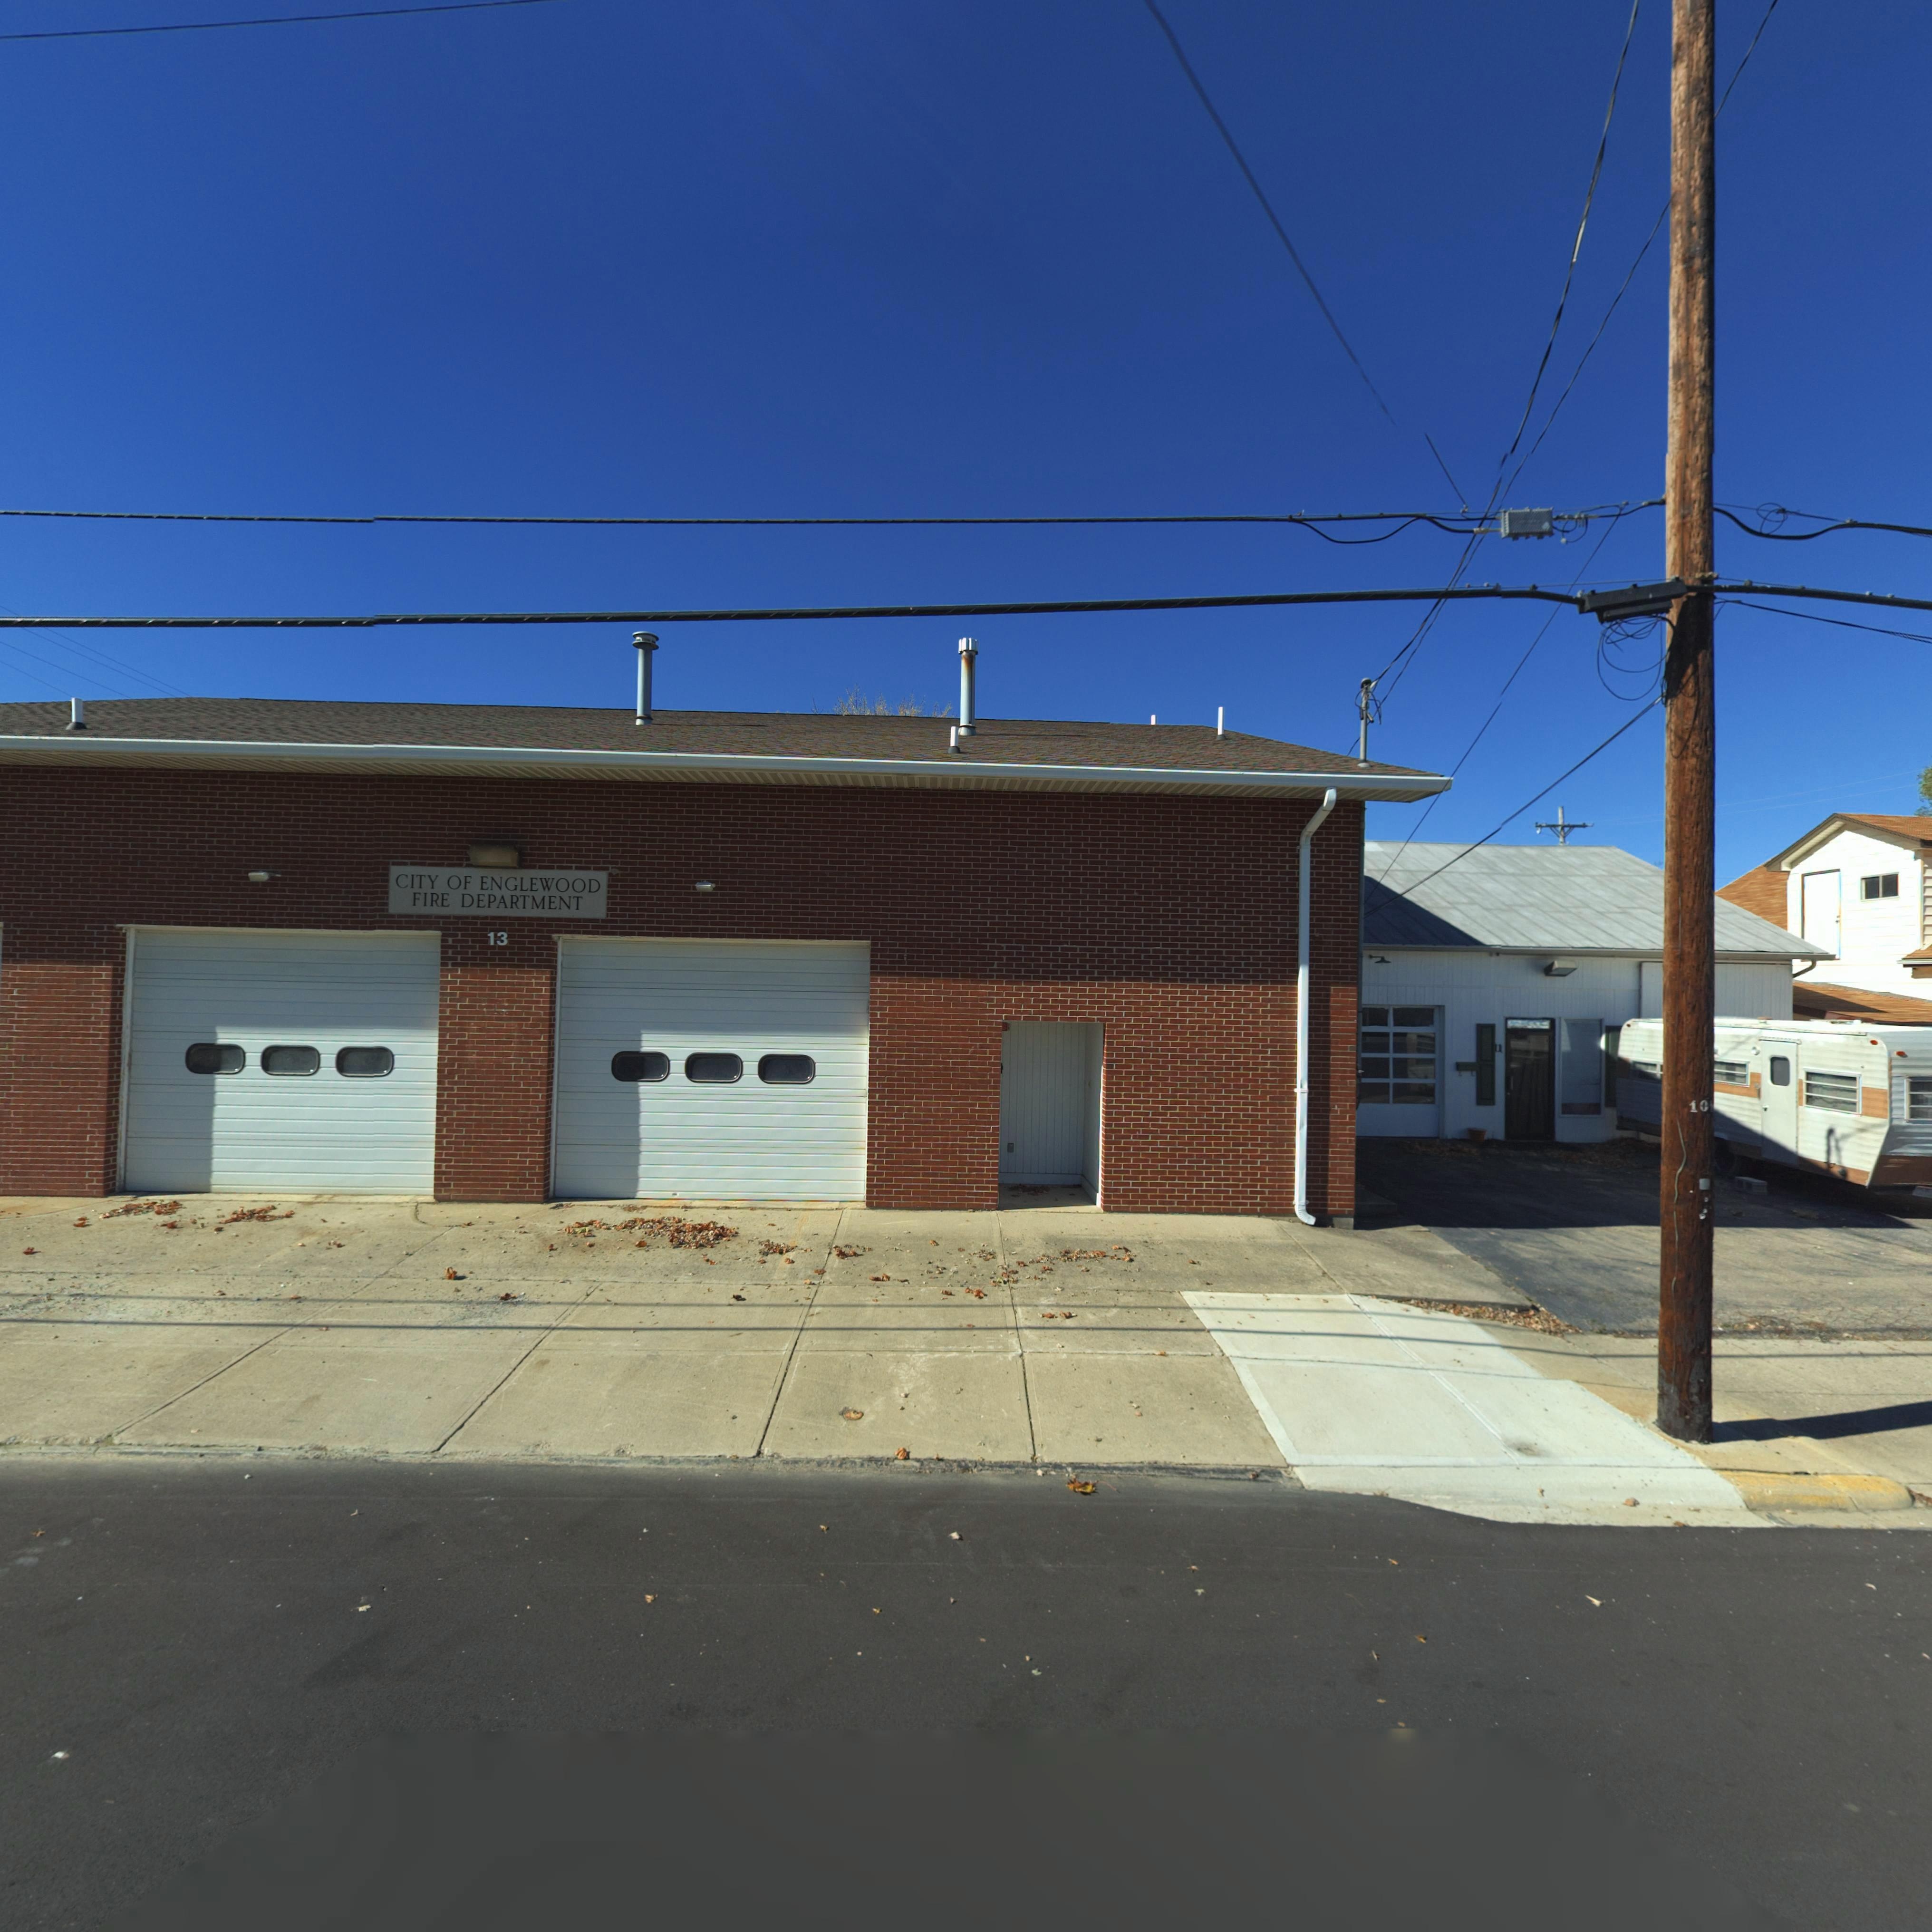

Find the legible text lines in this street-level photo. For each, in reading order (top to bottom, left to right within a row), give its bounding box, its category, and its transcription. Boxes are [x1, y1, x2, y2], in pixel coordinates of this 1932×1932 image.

[395, 873, 602, 894] None: CITY OF ENGLEWOOD
[411, 891, 585, 911] None: FIRE DEPARTMENT
[487, 931, 508, 946] StreetNumber: 13
[1494, 1043, 1503, 1053] StreetNumber: 11
[1688, 1099, 1710, 1113] None: 10